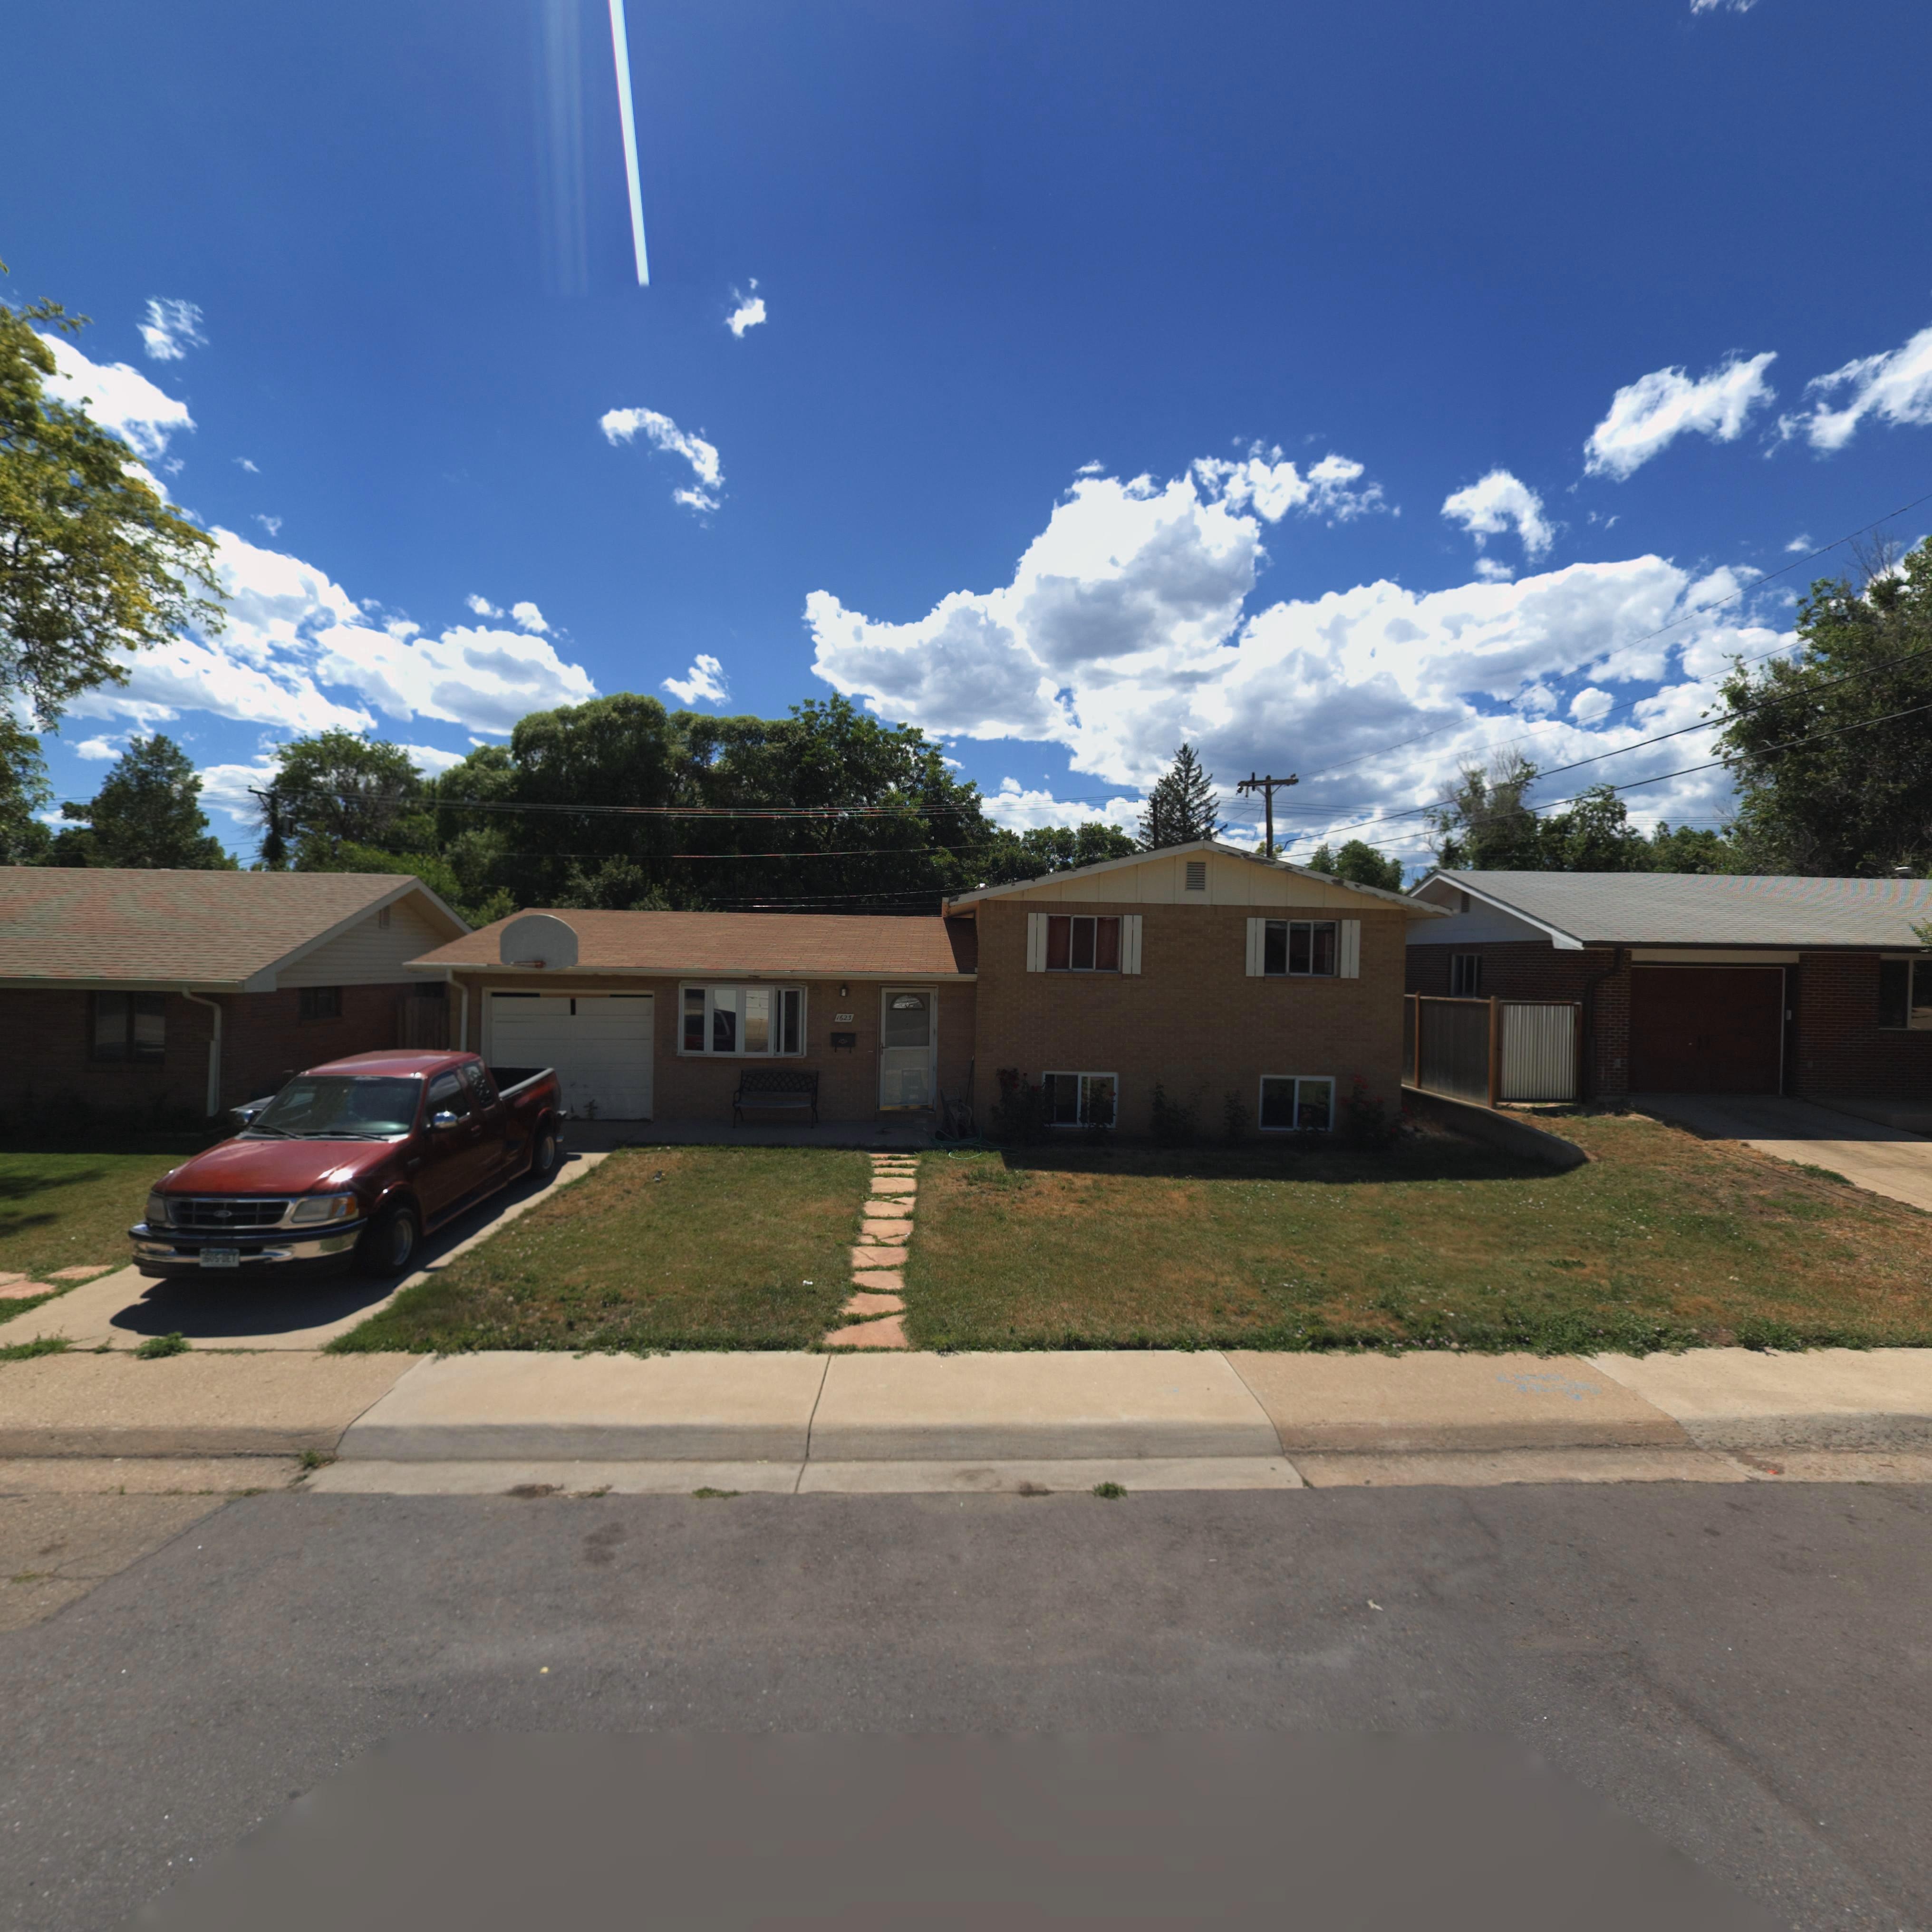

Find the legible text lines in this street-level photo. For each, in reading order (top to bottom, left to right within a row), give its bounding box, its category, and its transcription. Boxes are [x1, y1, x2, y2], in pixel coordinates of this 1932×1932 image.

[835, 1014, 852, 1021] StreetNumber: 1623